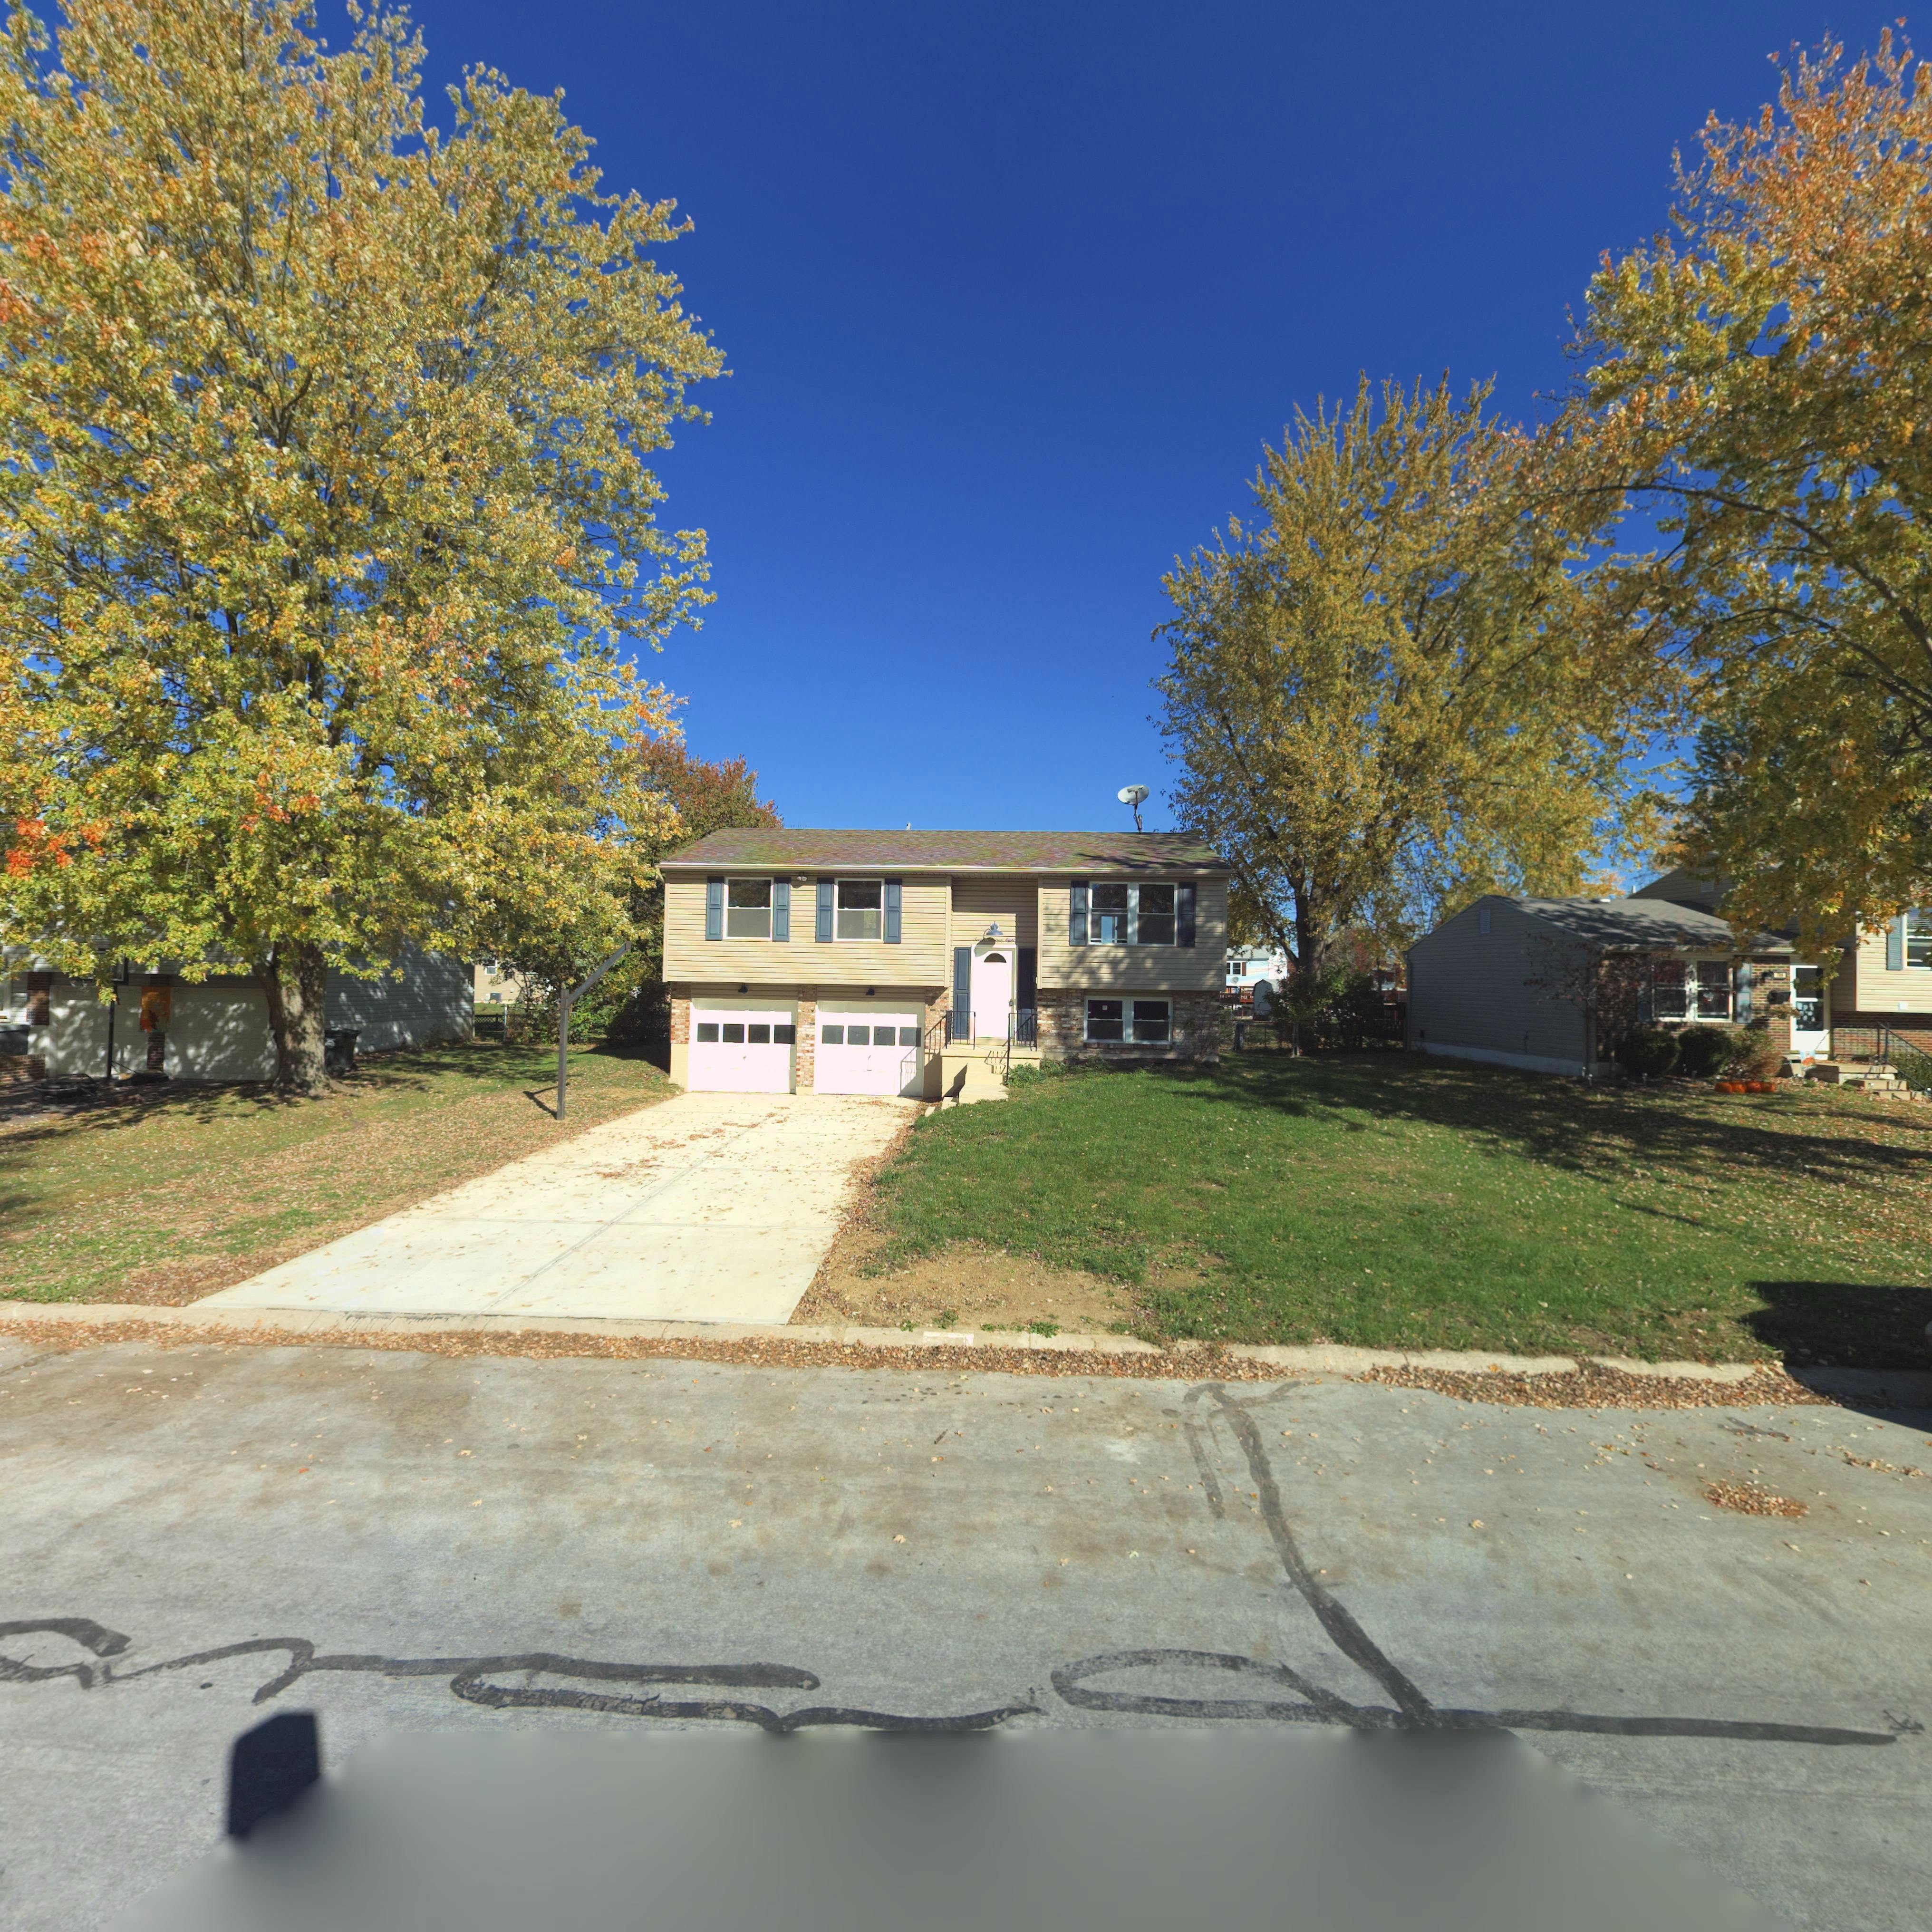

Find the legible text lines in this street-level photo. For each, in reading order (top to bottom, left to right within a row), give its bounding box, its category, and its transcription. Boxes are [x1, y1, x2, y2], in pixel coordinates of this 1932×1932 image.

[1005, 937, 1016, 943] StreetNumber: Eight